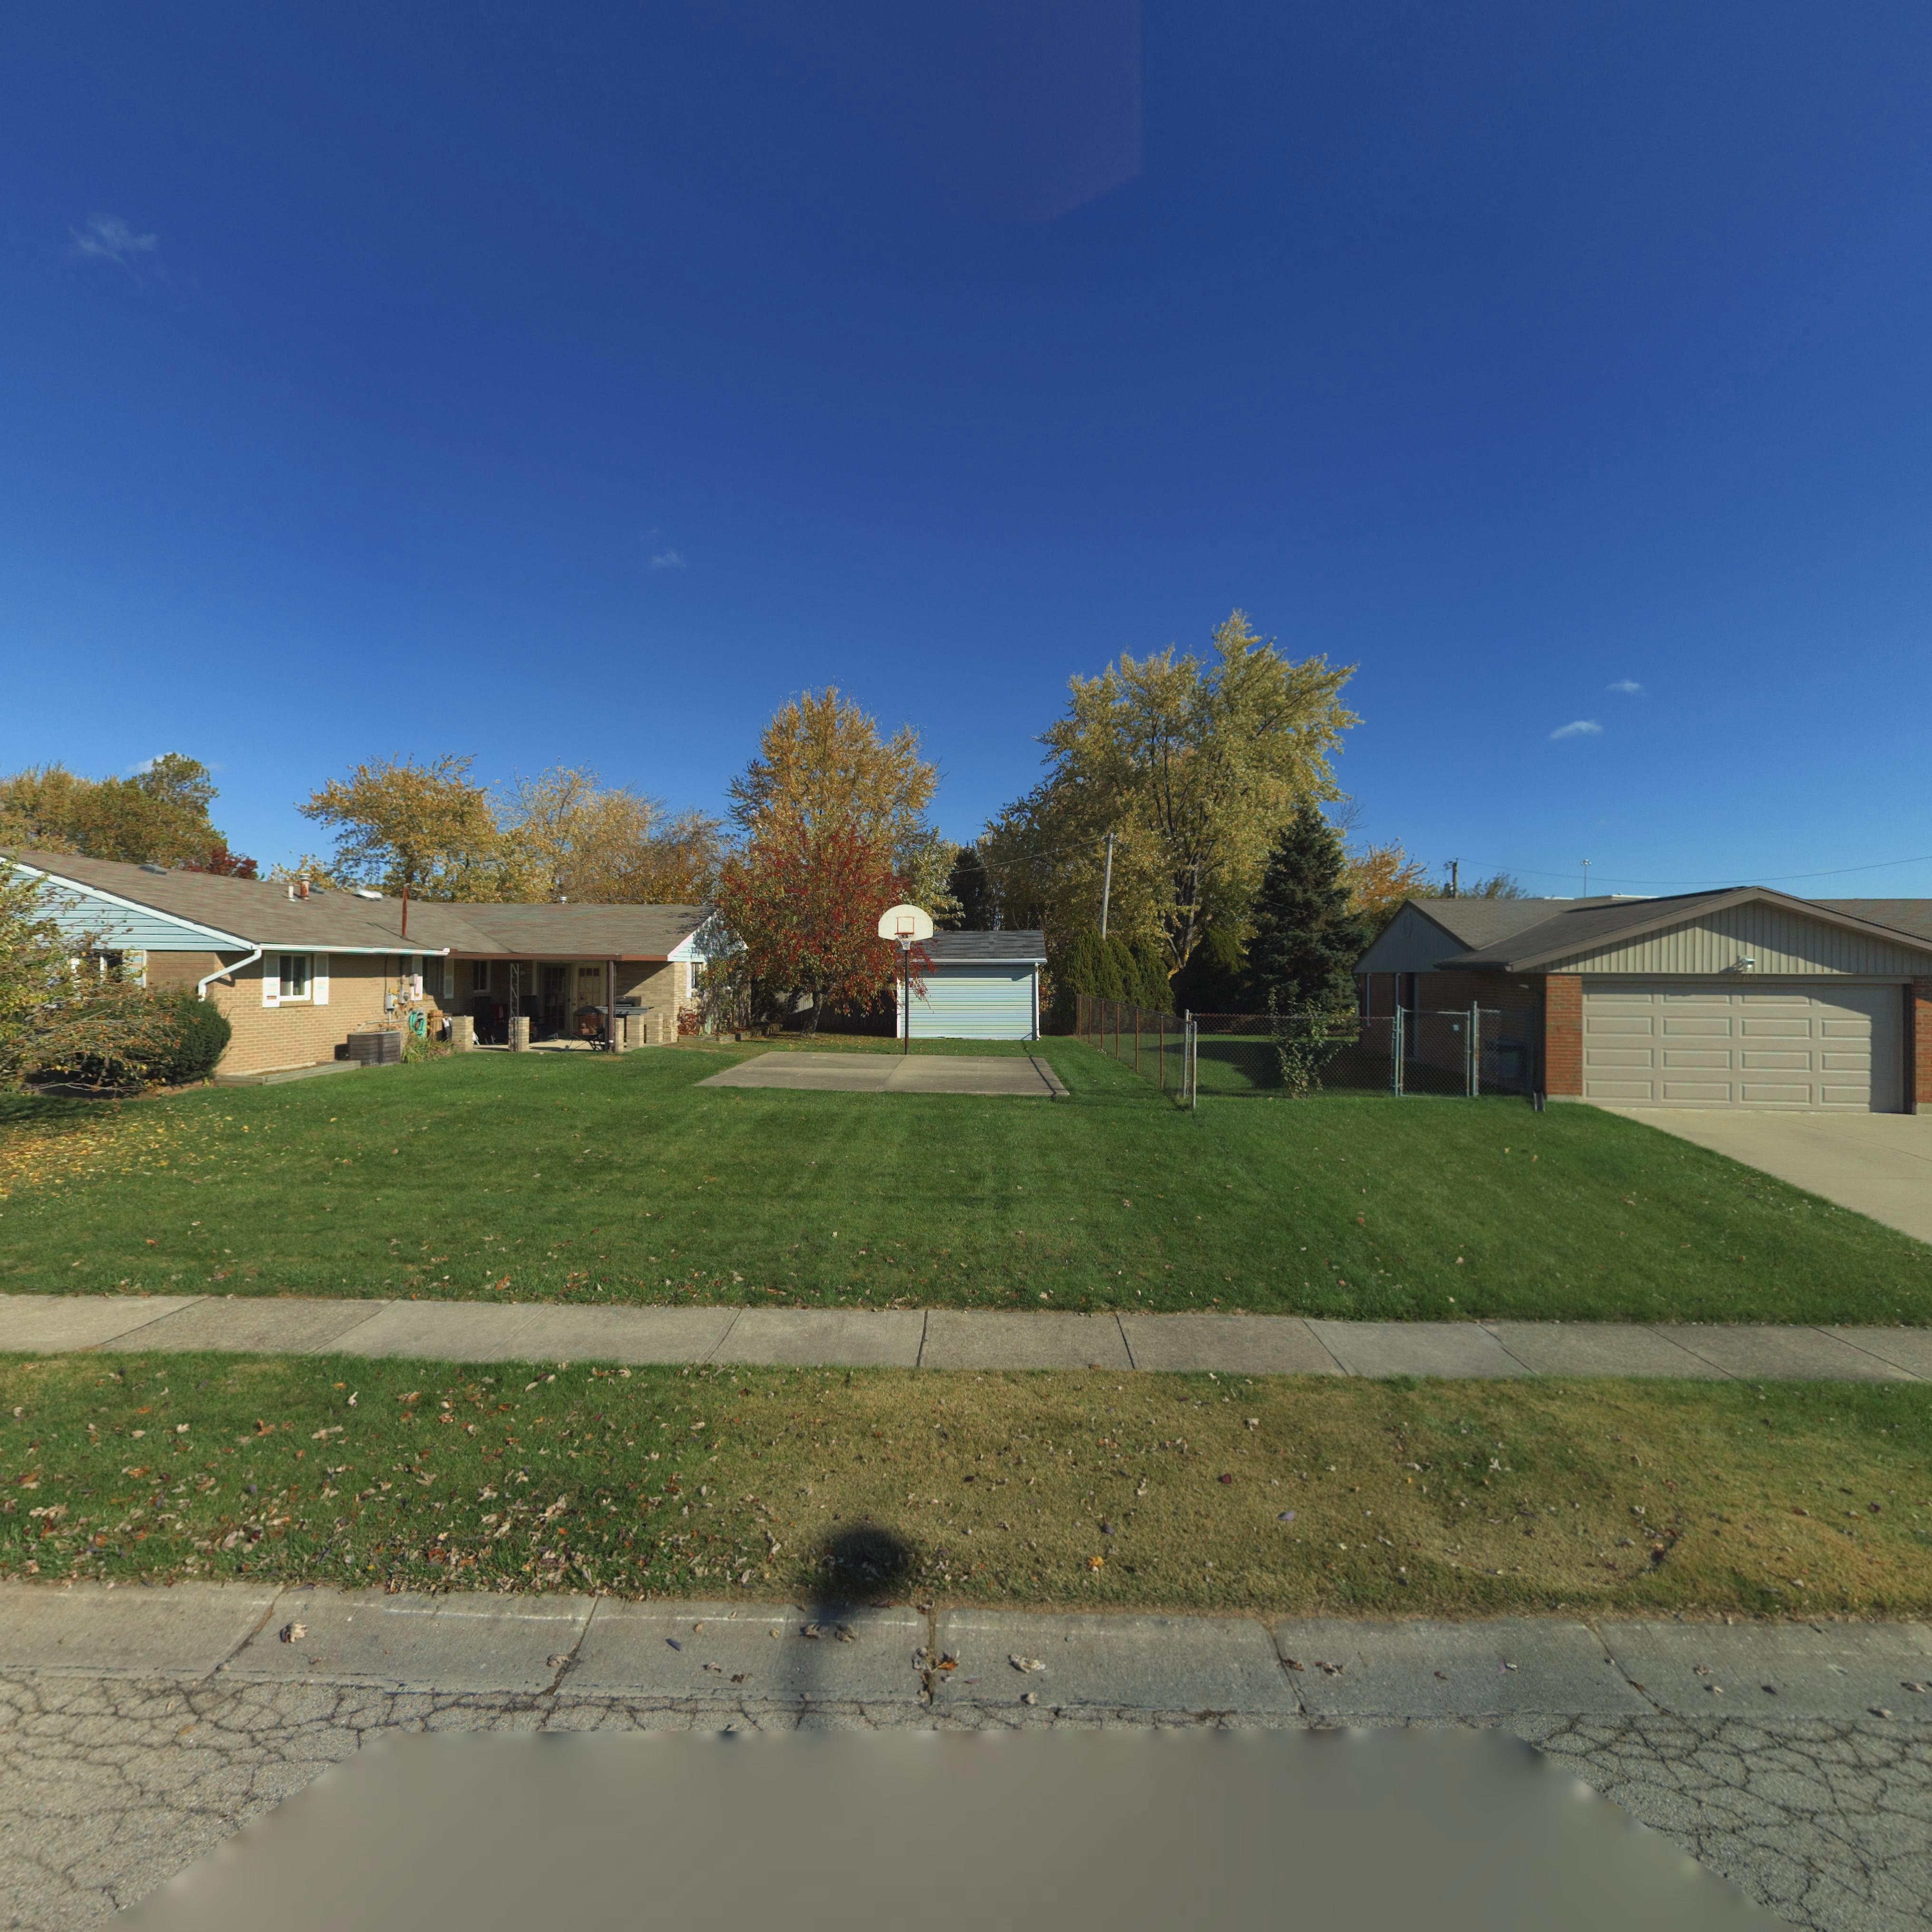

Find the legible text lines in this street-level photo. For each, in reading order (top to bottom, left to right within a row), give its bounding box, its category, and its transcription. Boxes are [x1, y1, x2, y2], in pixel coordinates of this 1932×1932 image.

[1726, 973, 1759, 984] StreetNumber: *26*